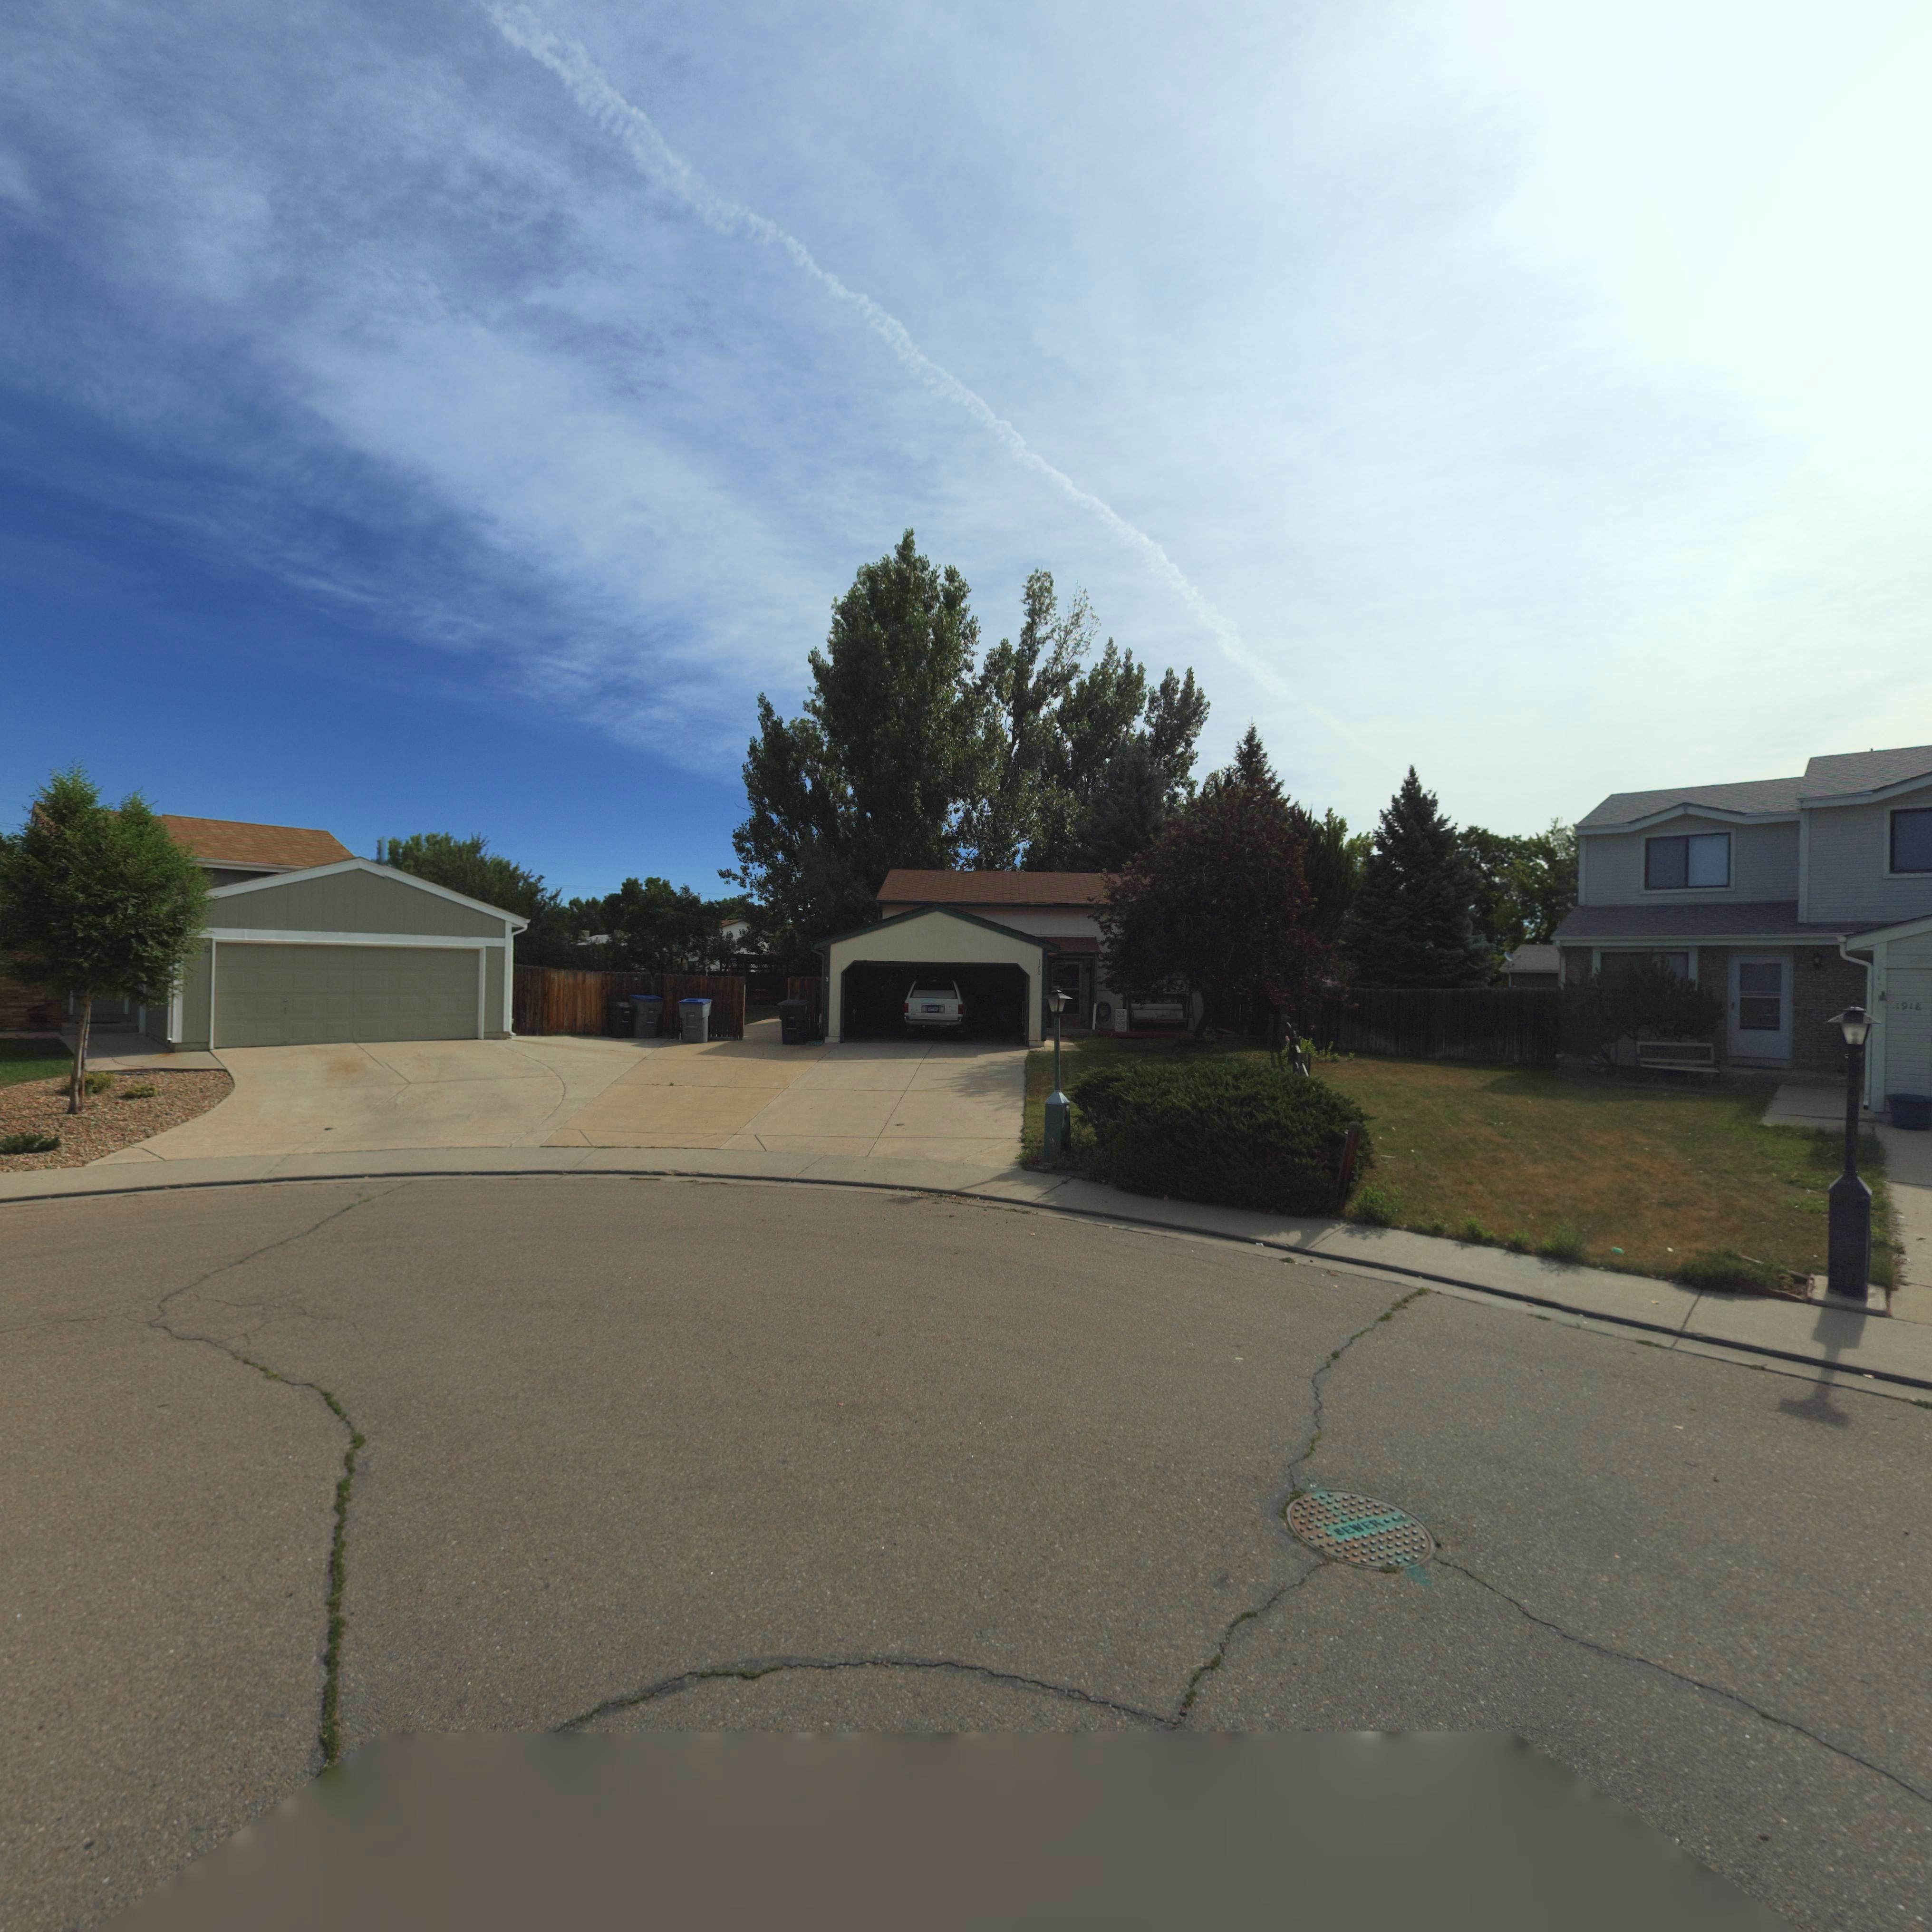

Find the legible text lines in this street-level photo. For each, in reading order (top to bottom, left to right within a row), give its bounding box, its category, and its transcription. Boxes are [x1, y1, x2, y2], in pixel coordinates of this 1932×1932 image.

[1037, 958, 1041, 975] StreetNumber: 1506
[1895, 1001, 1922, 1011] StreetNumber: 1918